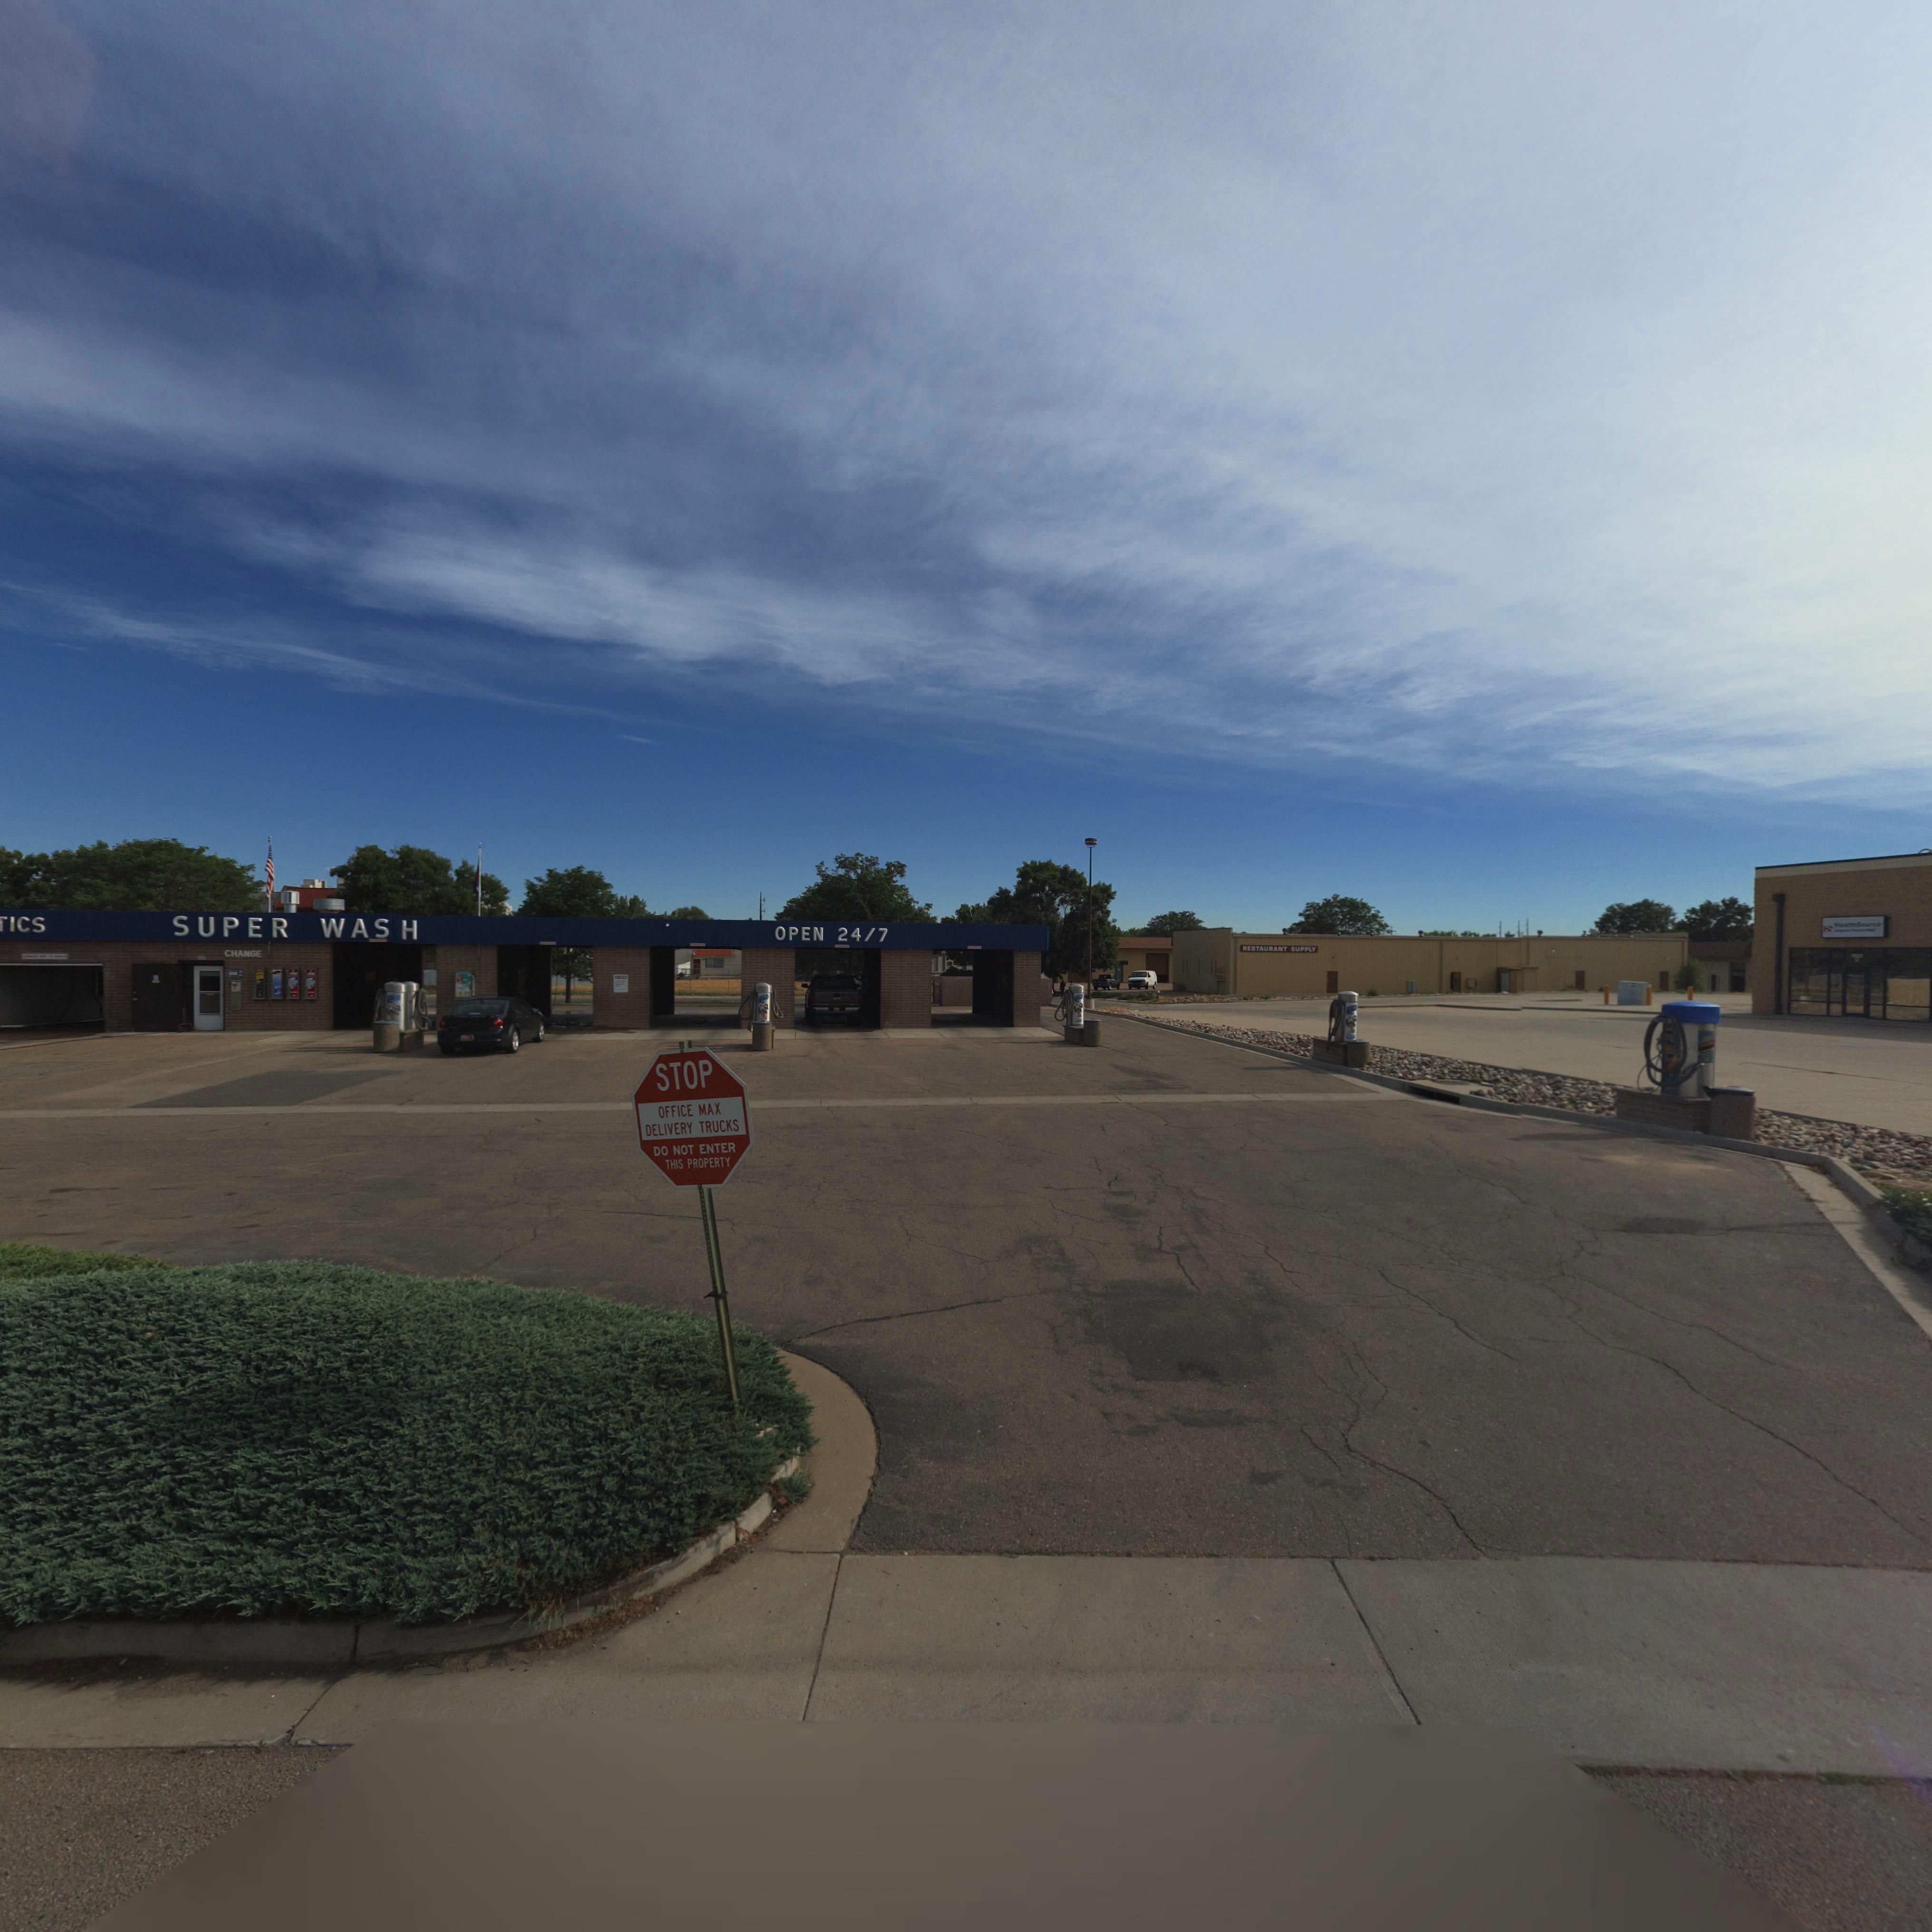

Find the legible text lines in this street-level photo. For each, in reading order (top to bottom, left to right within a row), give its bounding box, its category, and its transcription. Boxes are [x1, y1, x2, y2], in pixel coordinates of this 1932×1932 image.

[171, 915, 417, 940] BusinessName: SUPER WASH
[1834, 921, 1880, 927] BusinessName: He**** So*rc*
[658, 1102, 721, 1118] BusinessName: OFFICE MAX